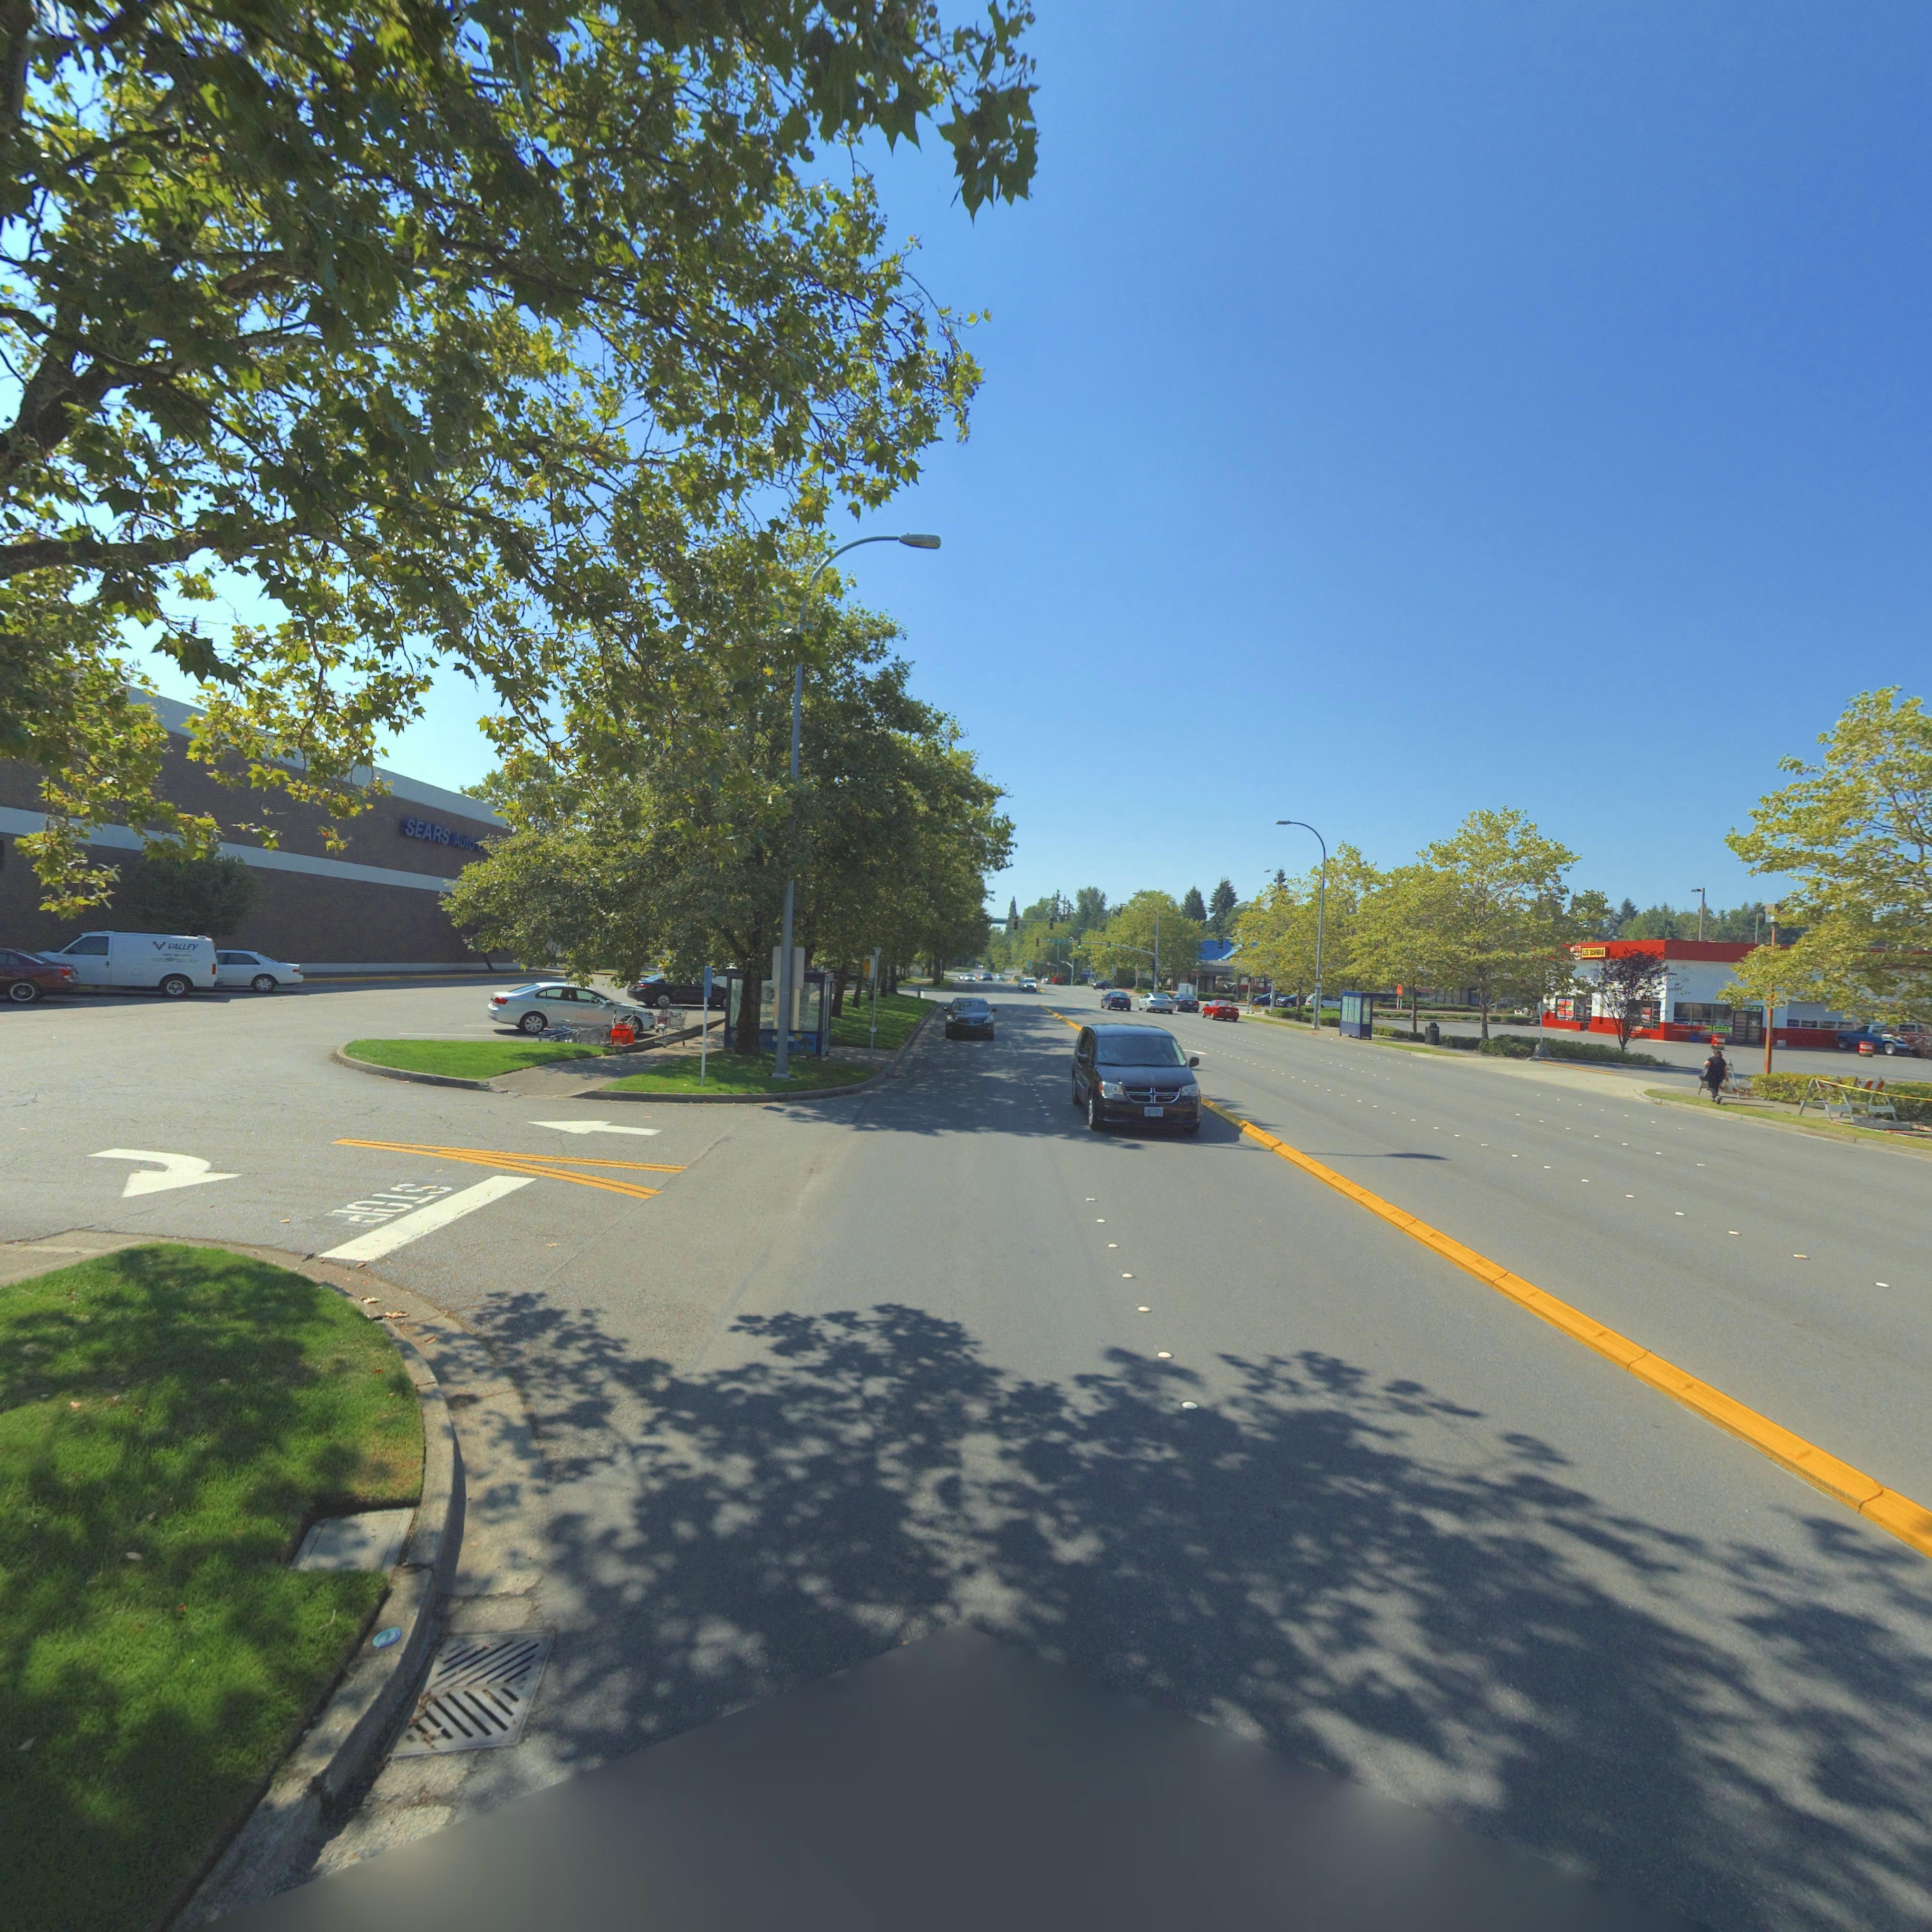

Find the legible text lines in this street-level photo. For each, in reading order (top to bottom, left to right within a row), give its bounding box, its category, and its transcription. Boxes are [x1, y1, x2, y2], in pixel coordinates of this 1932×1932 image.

[404, 819, 475, 851] BusinessName: SEARS Auto
[1582, 948, 1604, 956] BusinessName: LES SCH*AB